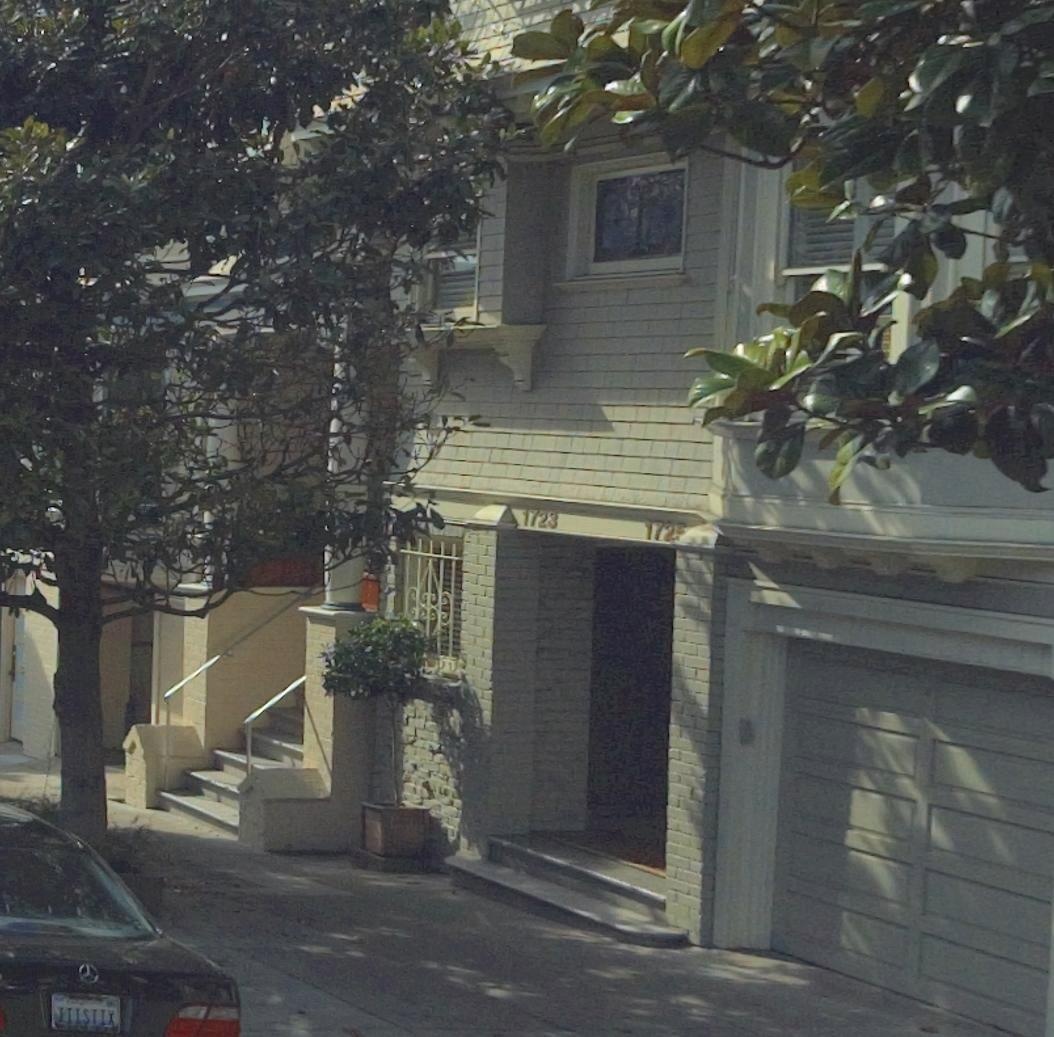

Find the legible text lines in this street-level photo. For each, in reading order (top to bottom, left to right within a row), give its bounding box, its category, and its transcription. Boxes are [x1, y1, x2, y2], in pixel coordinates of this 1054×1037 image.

[522, 507, 559, 530] StreetNumber: 1723
[643, 518, 675, 544] StreetNumber: 172
[65, 1004, 117, 1028] None: IISTIX